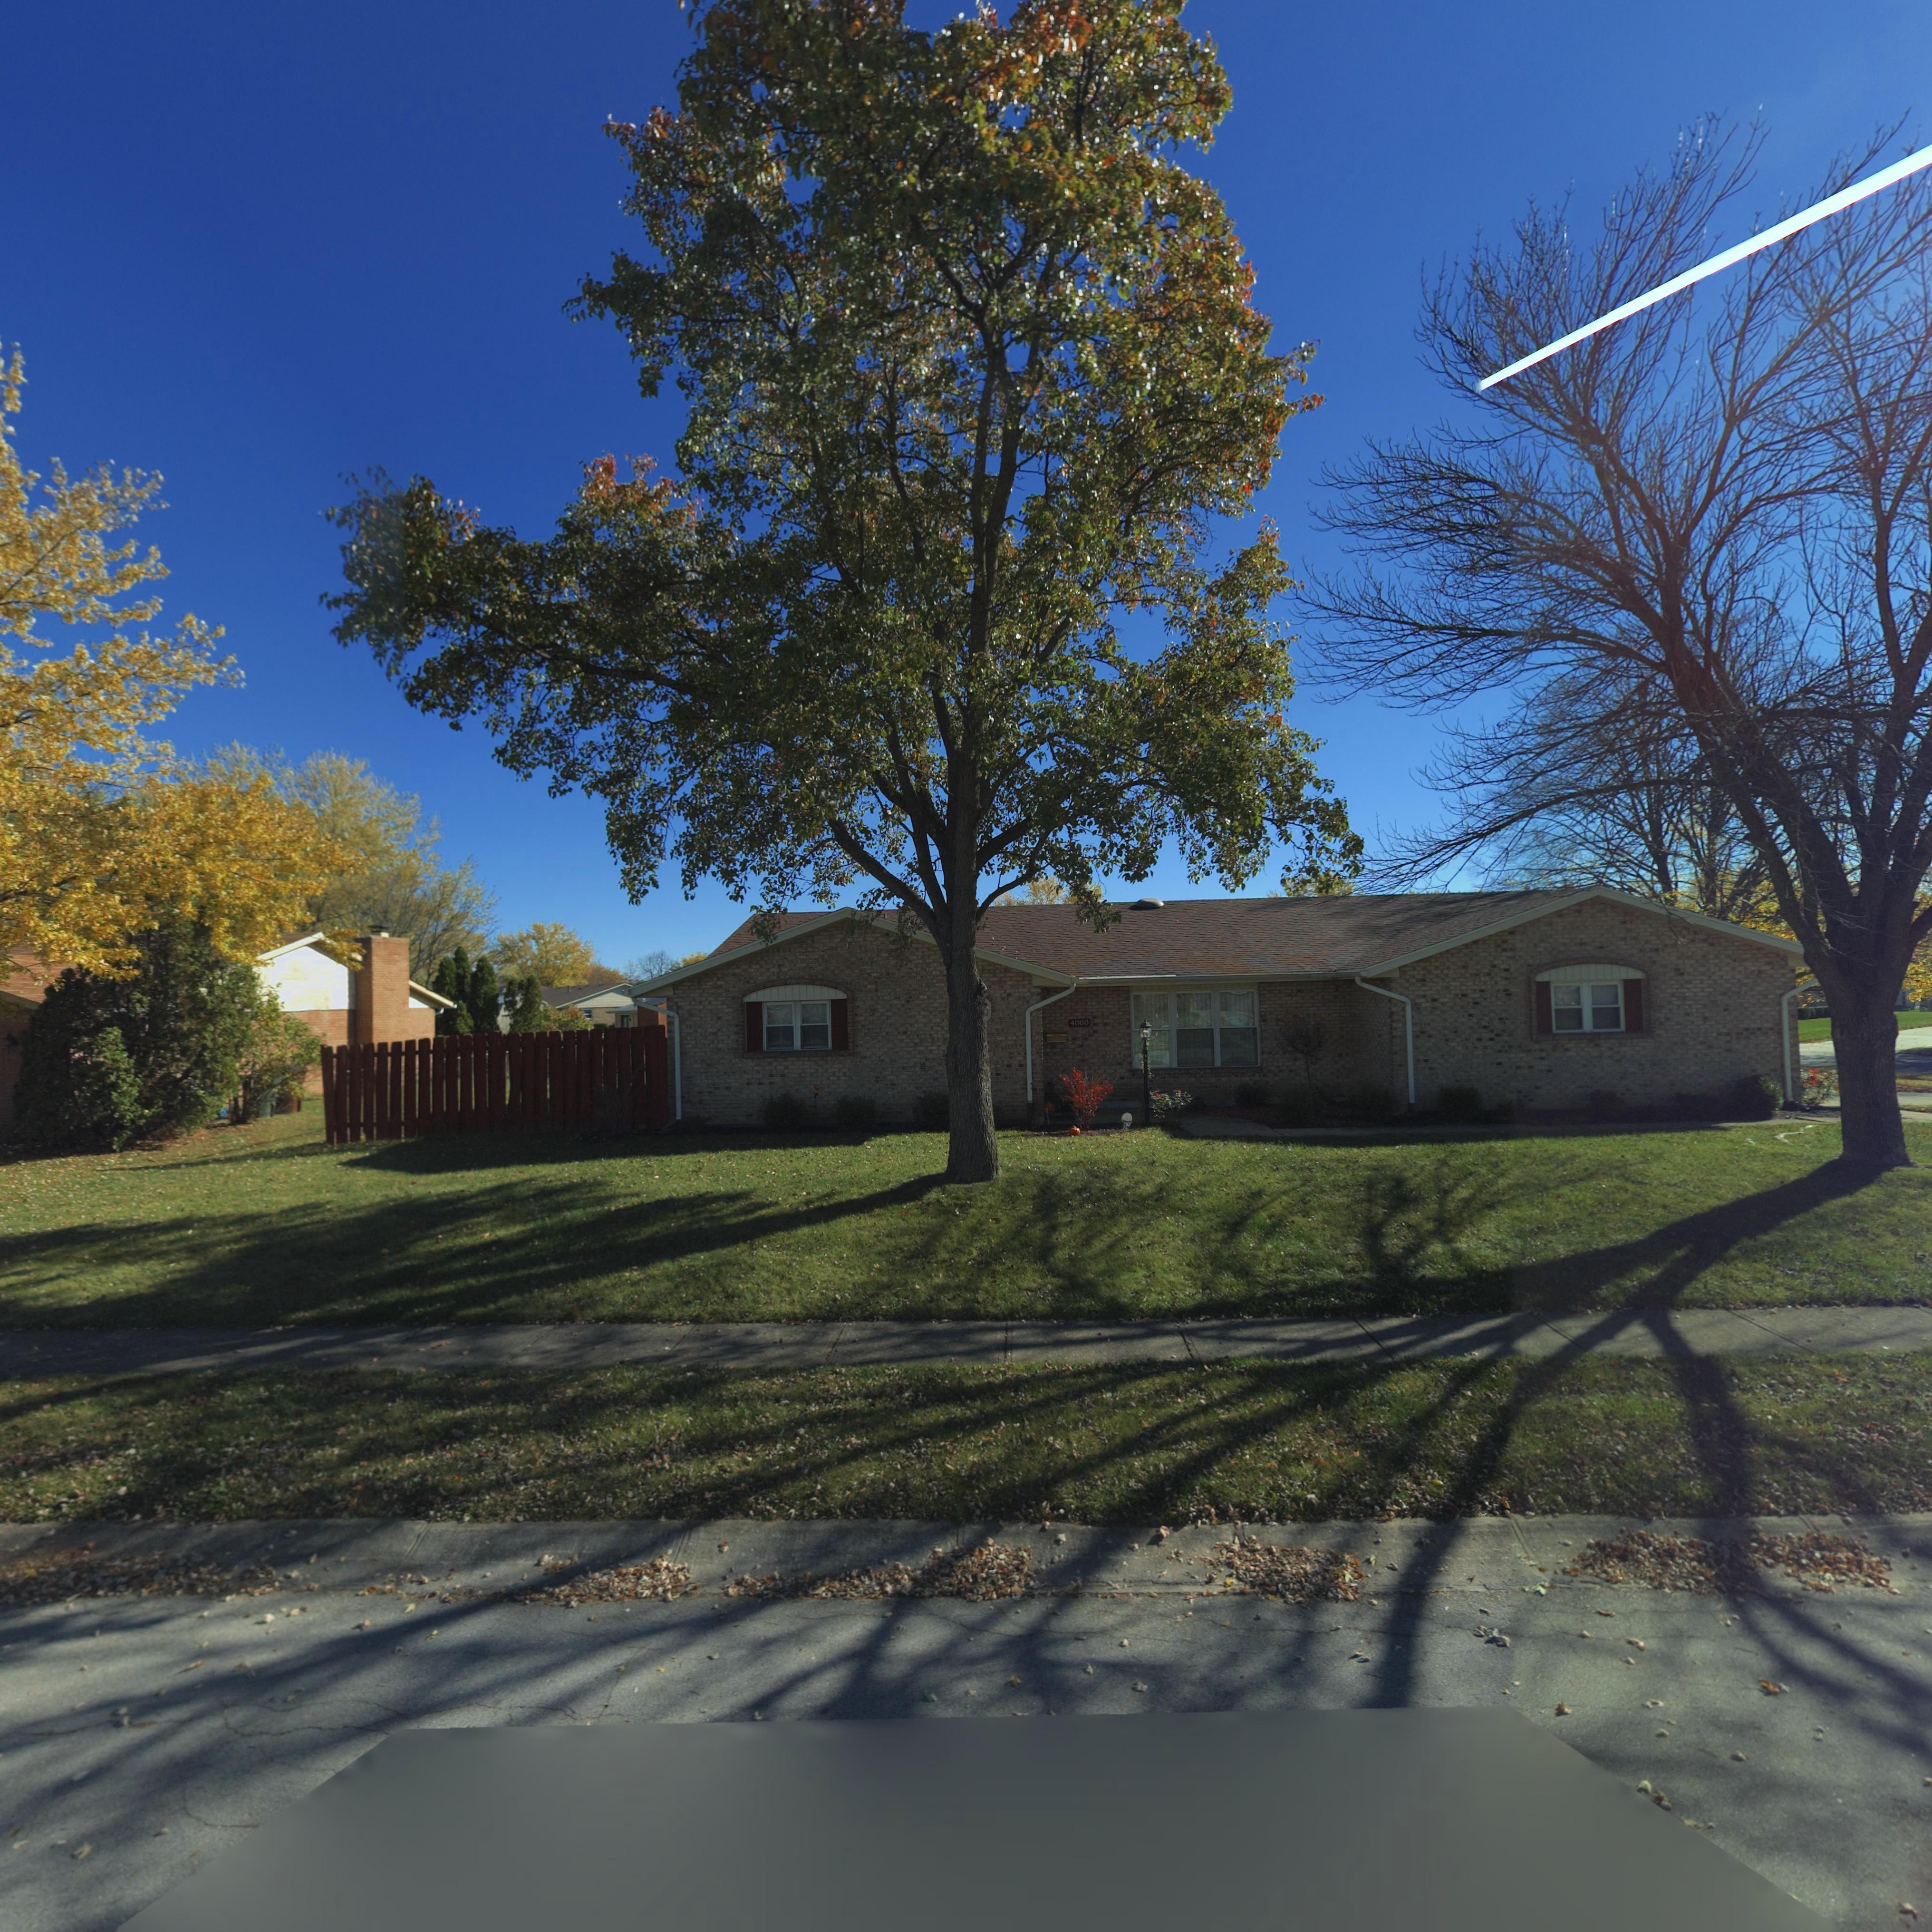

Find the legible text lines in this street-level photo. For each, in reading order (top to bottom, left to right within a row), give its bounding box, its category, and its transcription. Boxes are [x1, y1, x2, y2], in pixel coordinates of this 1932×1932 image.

[1070, 1019, 1089, 1026] StreetNumber: 4000